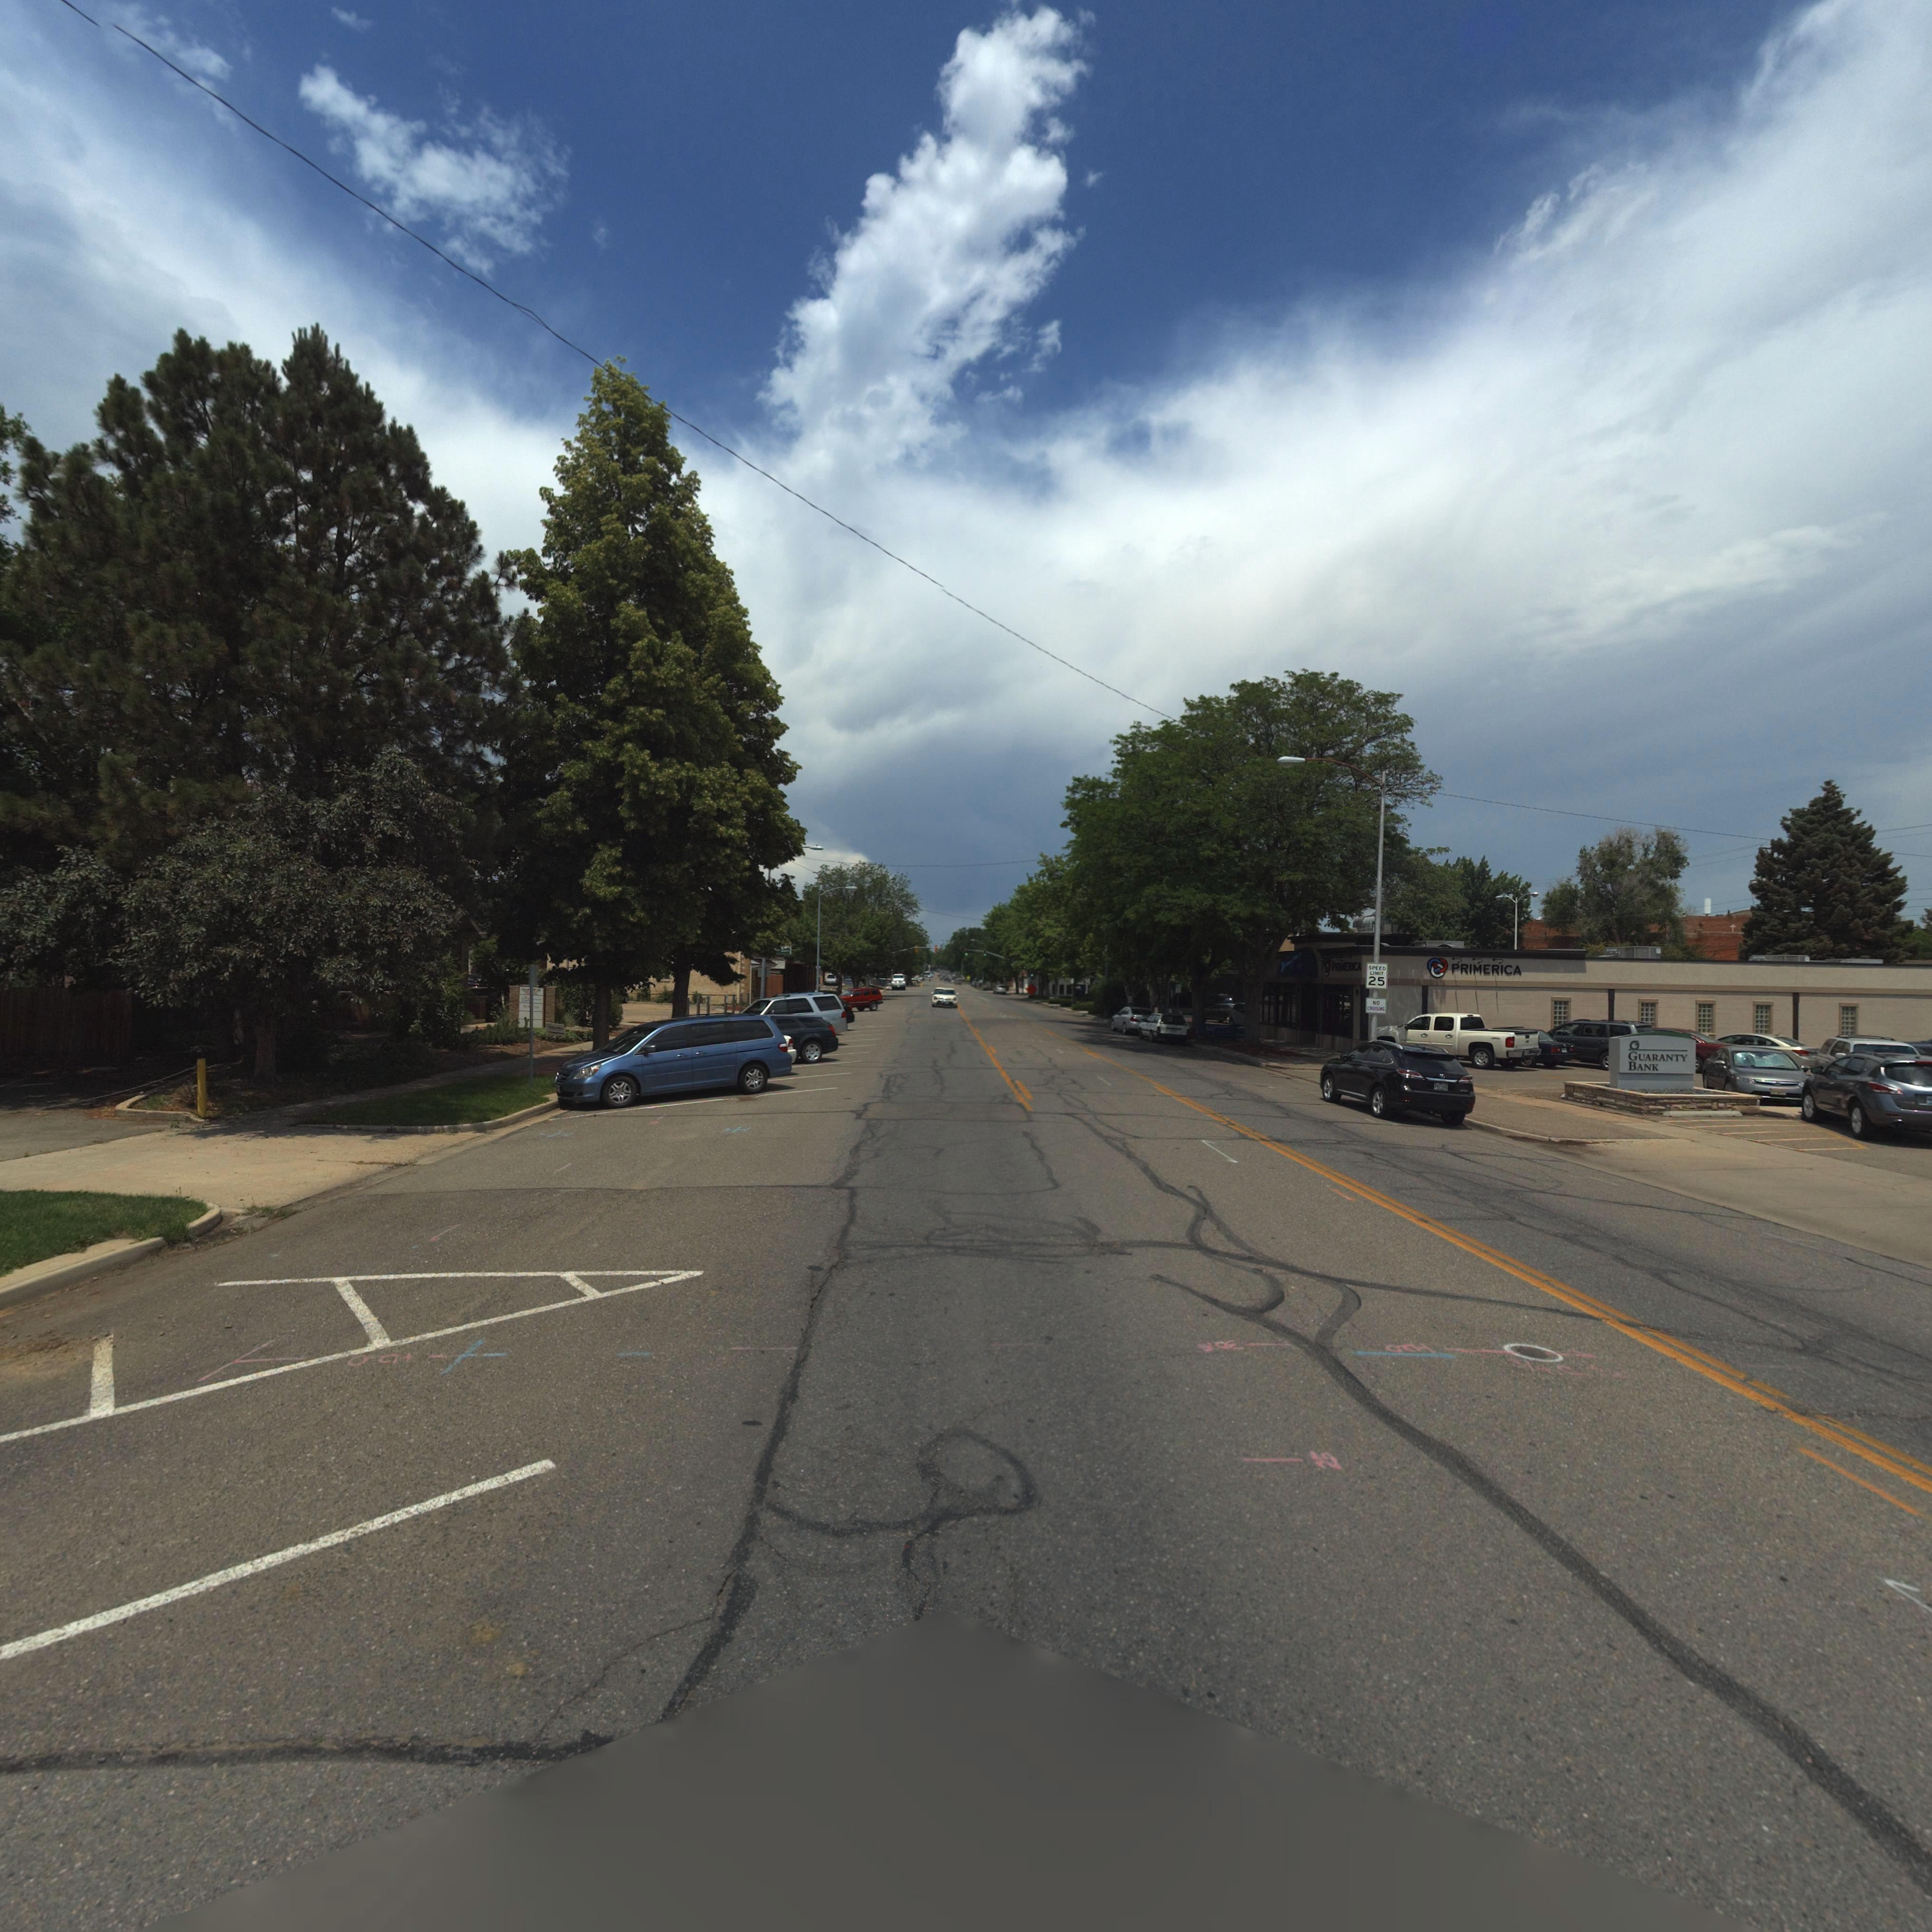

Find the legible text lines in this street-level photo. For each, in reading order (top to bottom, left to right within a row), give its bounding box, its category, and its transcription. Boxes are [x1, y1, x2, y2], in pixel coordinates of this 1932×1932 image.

[1332, 961, 1362, 971] BusinessName: PRIMERICA
[1451, 963, 1522, 975] BusinessName: PRIMERICA
[1628, 1051, 1688, 1062] BusinessName: GUARANTY
[1627, 1061, 1659, 1071] BusinessName: BANK